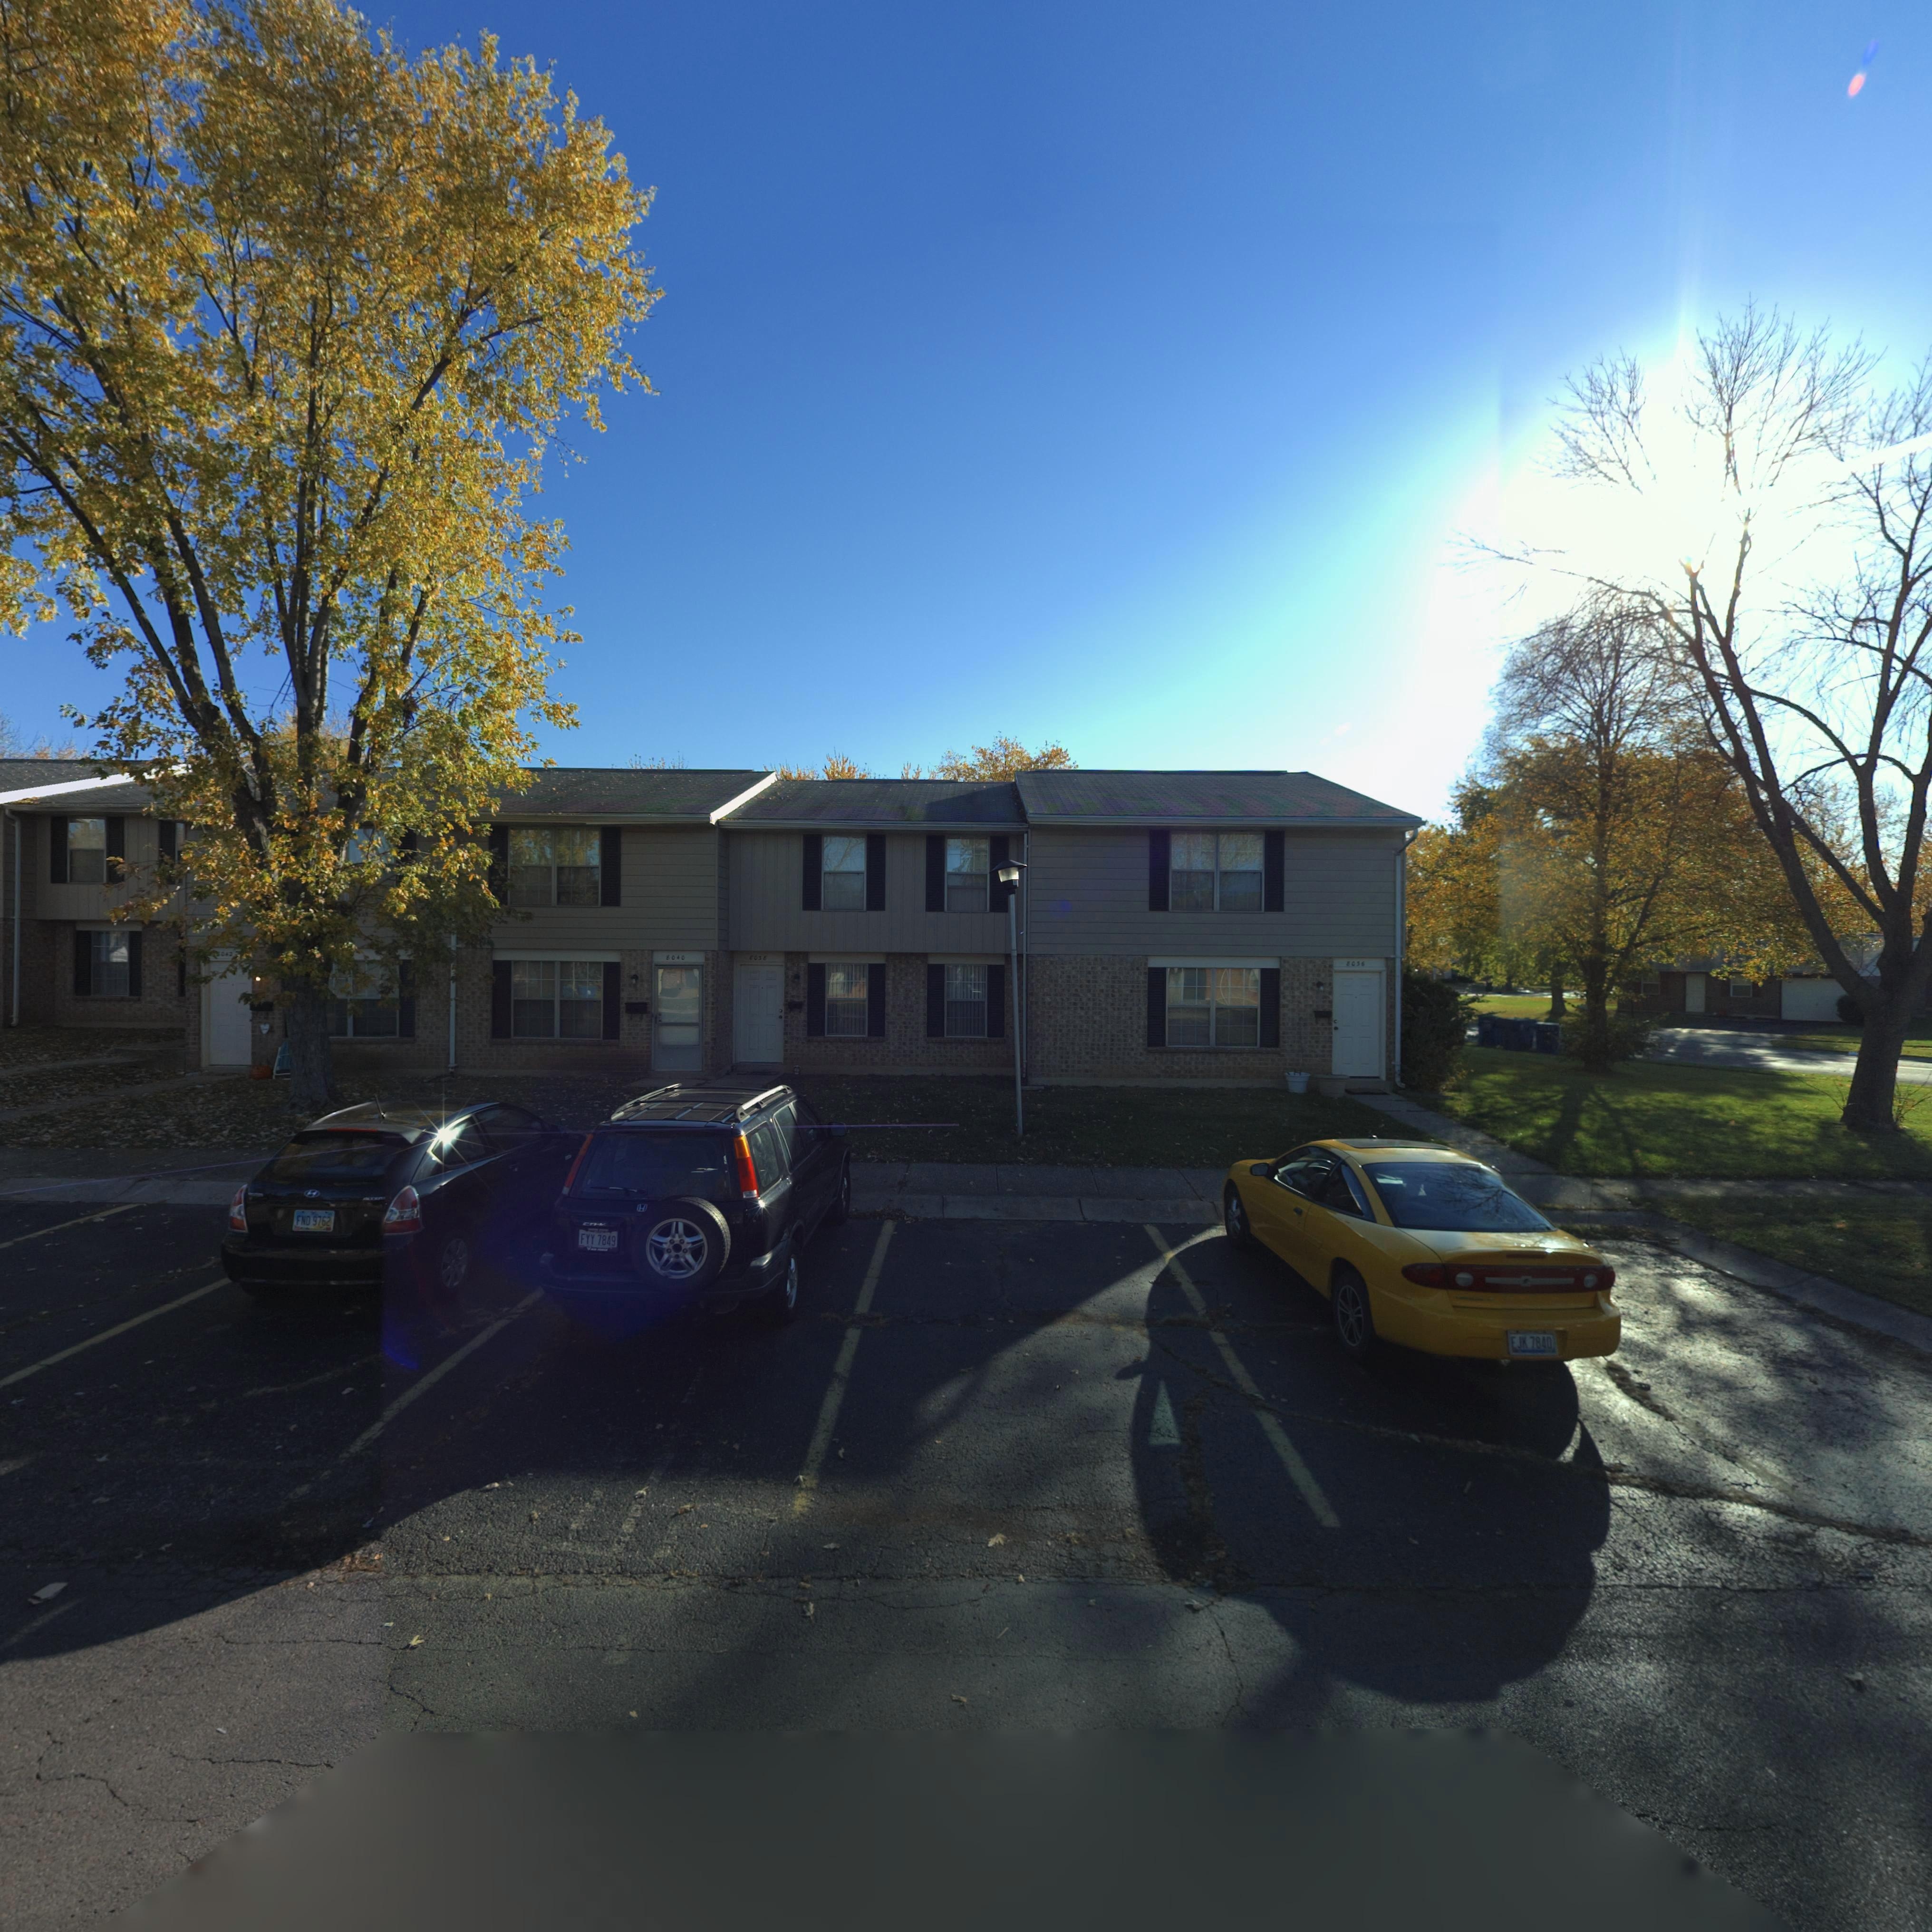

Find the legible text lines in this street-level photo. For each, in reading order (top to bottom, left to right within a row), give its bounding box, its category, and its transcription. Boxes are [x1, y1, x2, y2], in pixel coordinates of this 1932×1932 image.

[220, 951, 232, 957] StreetNumber: 042
[666, 954, 686, 961] StreetNumber: 8040
[749, 955, 768, 961] StreetNumber: 8038
[1345, 961, 1365, 967] StreetNumber: 8036